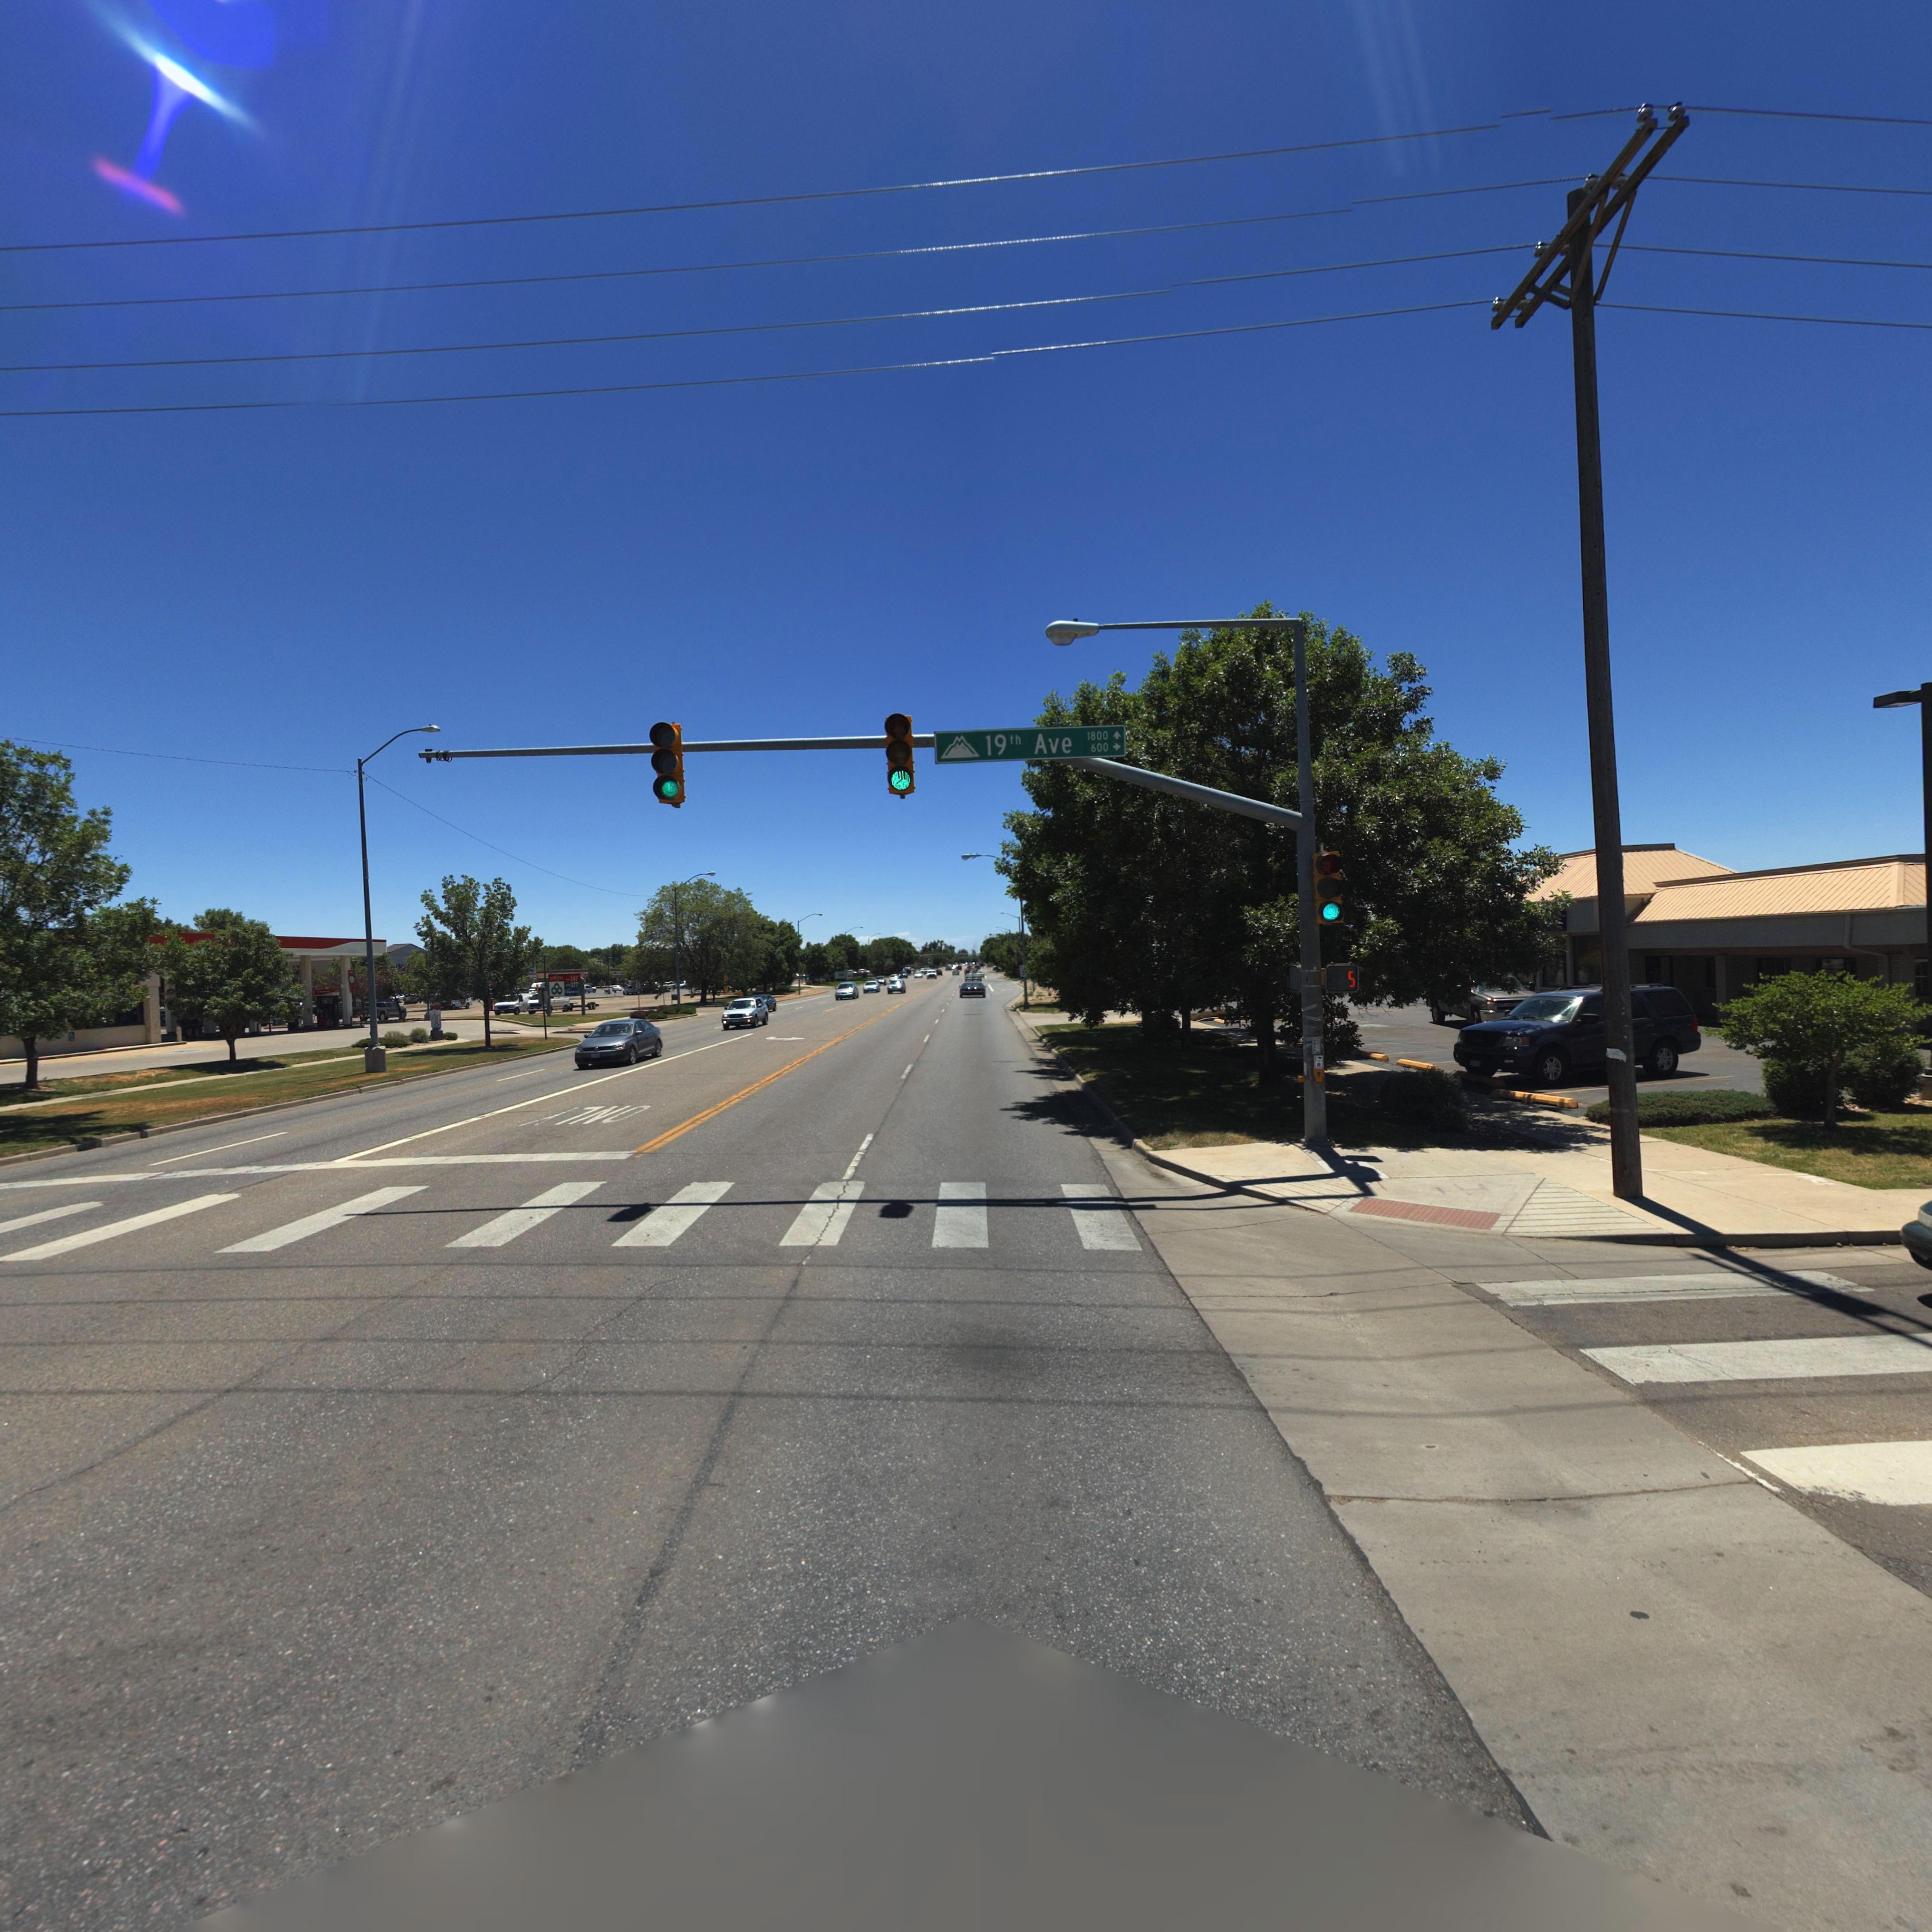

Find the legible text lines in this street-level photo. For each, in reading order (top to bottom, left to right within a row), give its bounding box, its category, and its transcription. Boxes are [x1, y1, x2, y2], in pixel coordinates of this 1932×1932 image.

[1087, 730, 1108, 741] StreetNumberRange: 1800
[985, 733, 1073, 756] StreetName: 19th Ave
[1091, 741, 1121, 753] StreetNumberRange: 600 ->